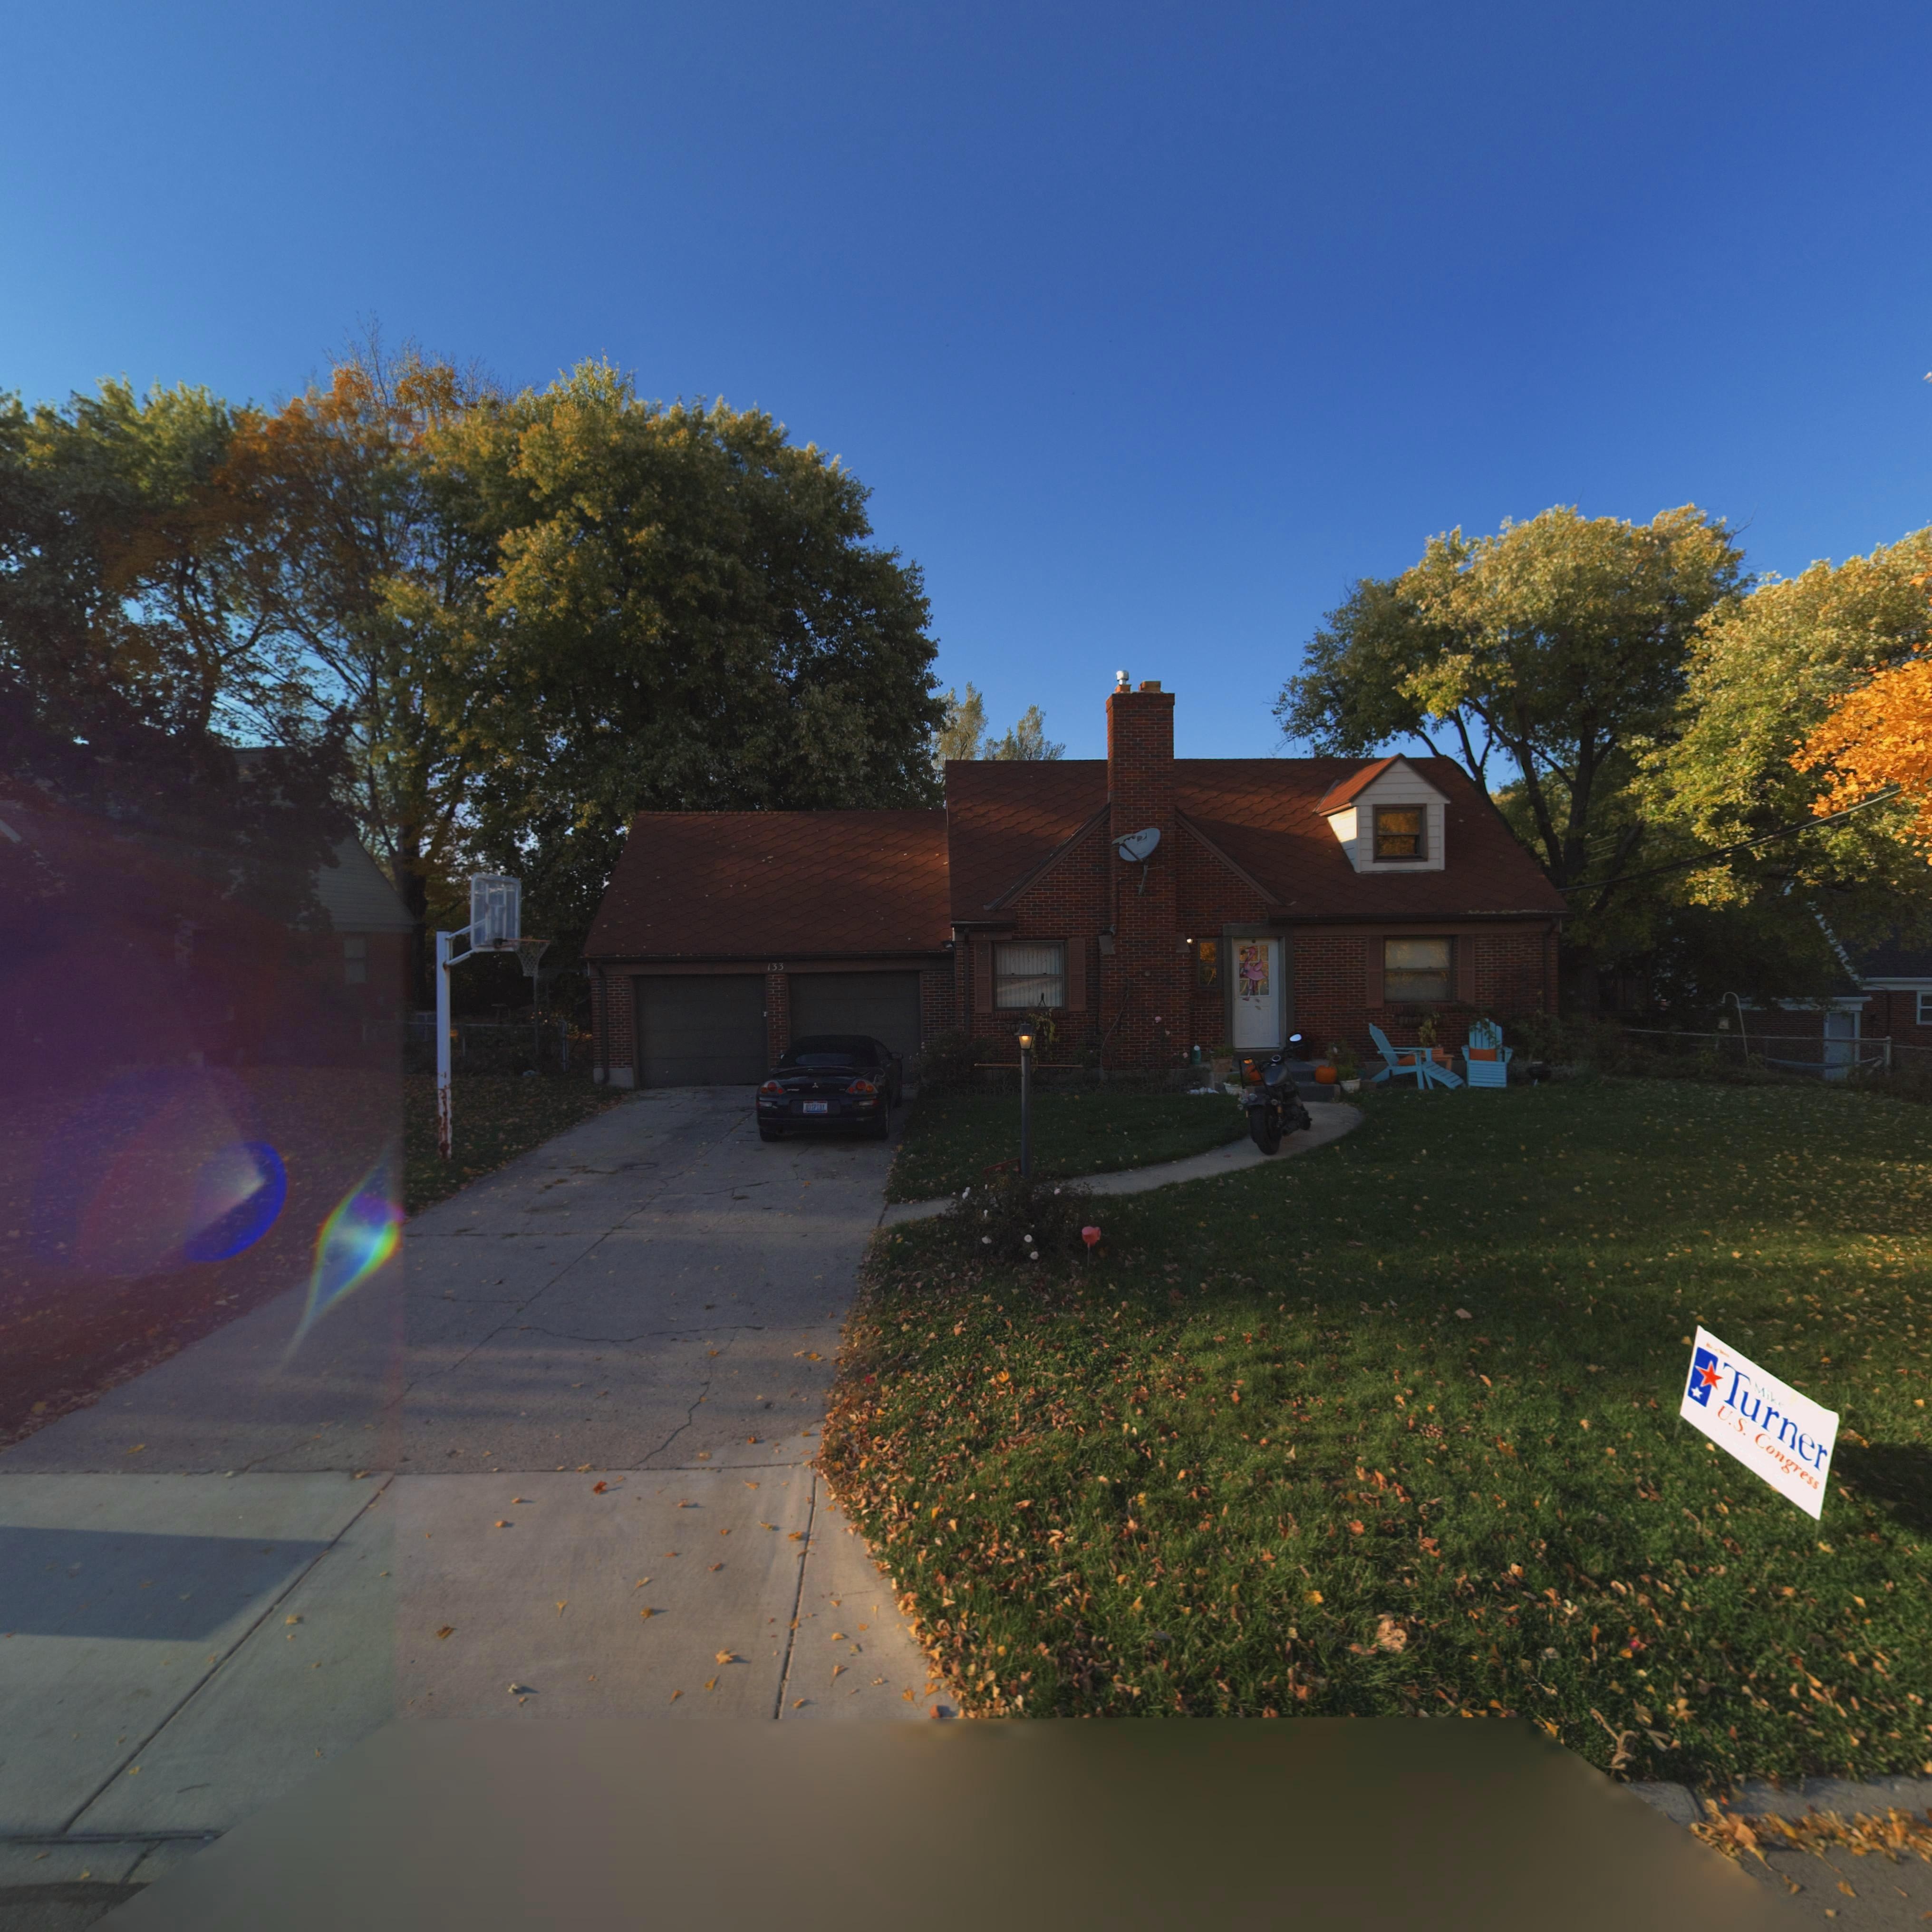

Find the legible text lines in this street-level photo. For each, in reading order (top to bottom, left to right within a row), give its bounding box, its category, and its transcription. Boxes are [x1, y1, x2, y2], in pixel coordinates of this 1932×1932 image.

[767, 962, 784, 972] StreetNumber: 133